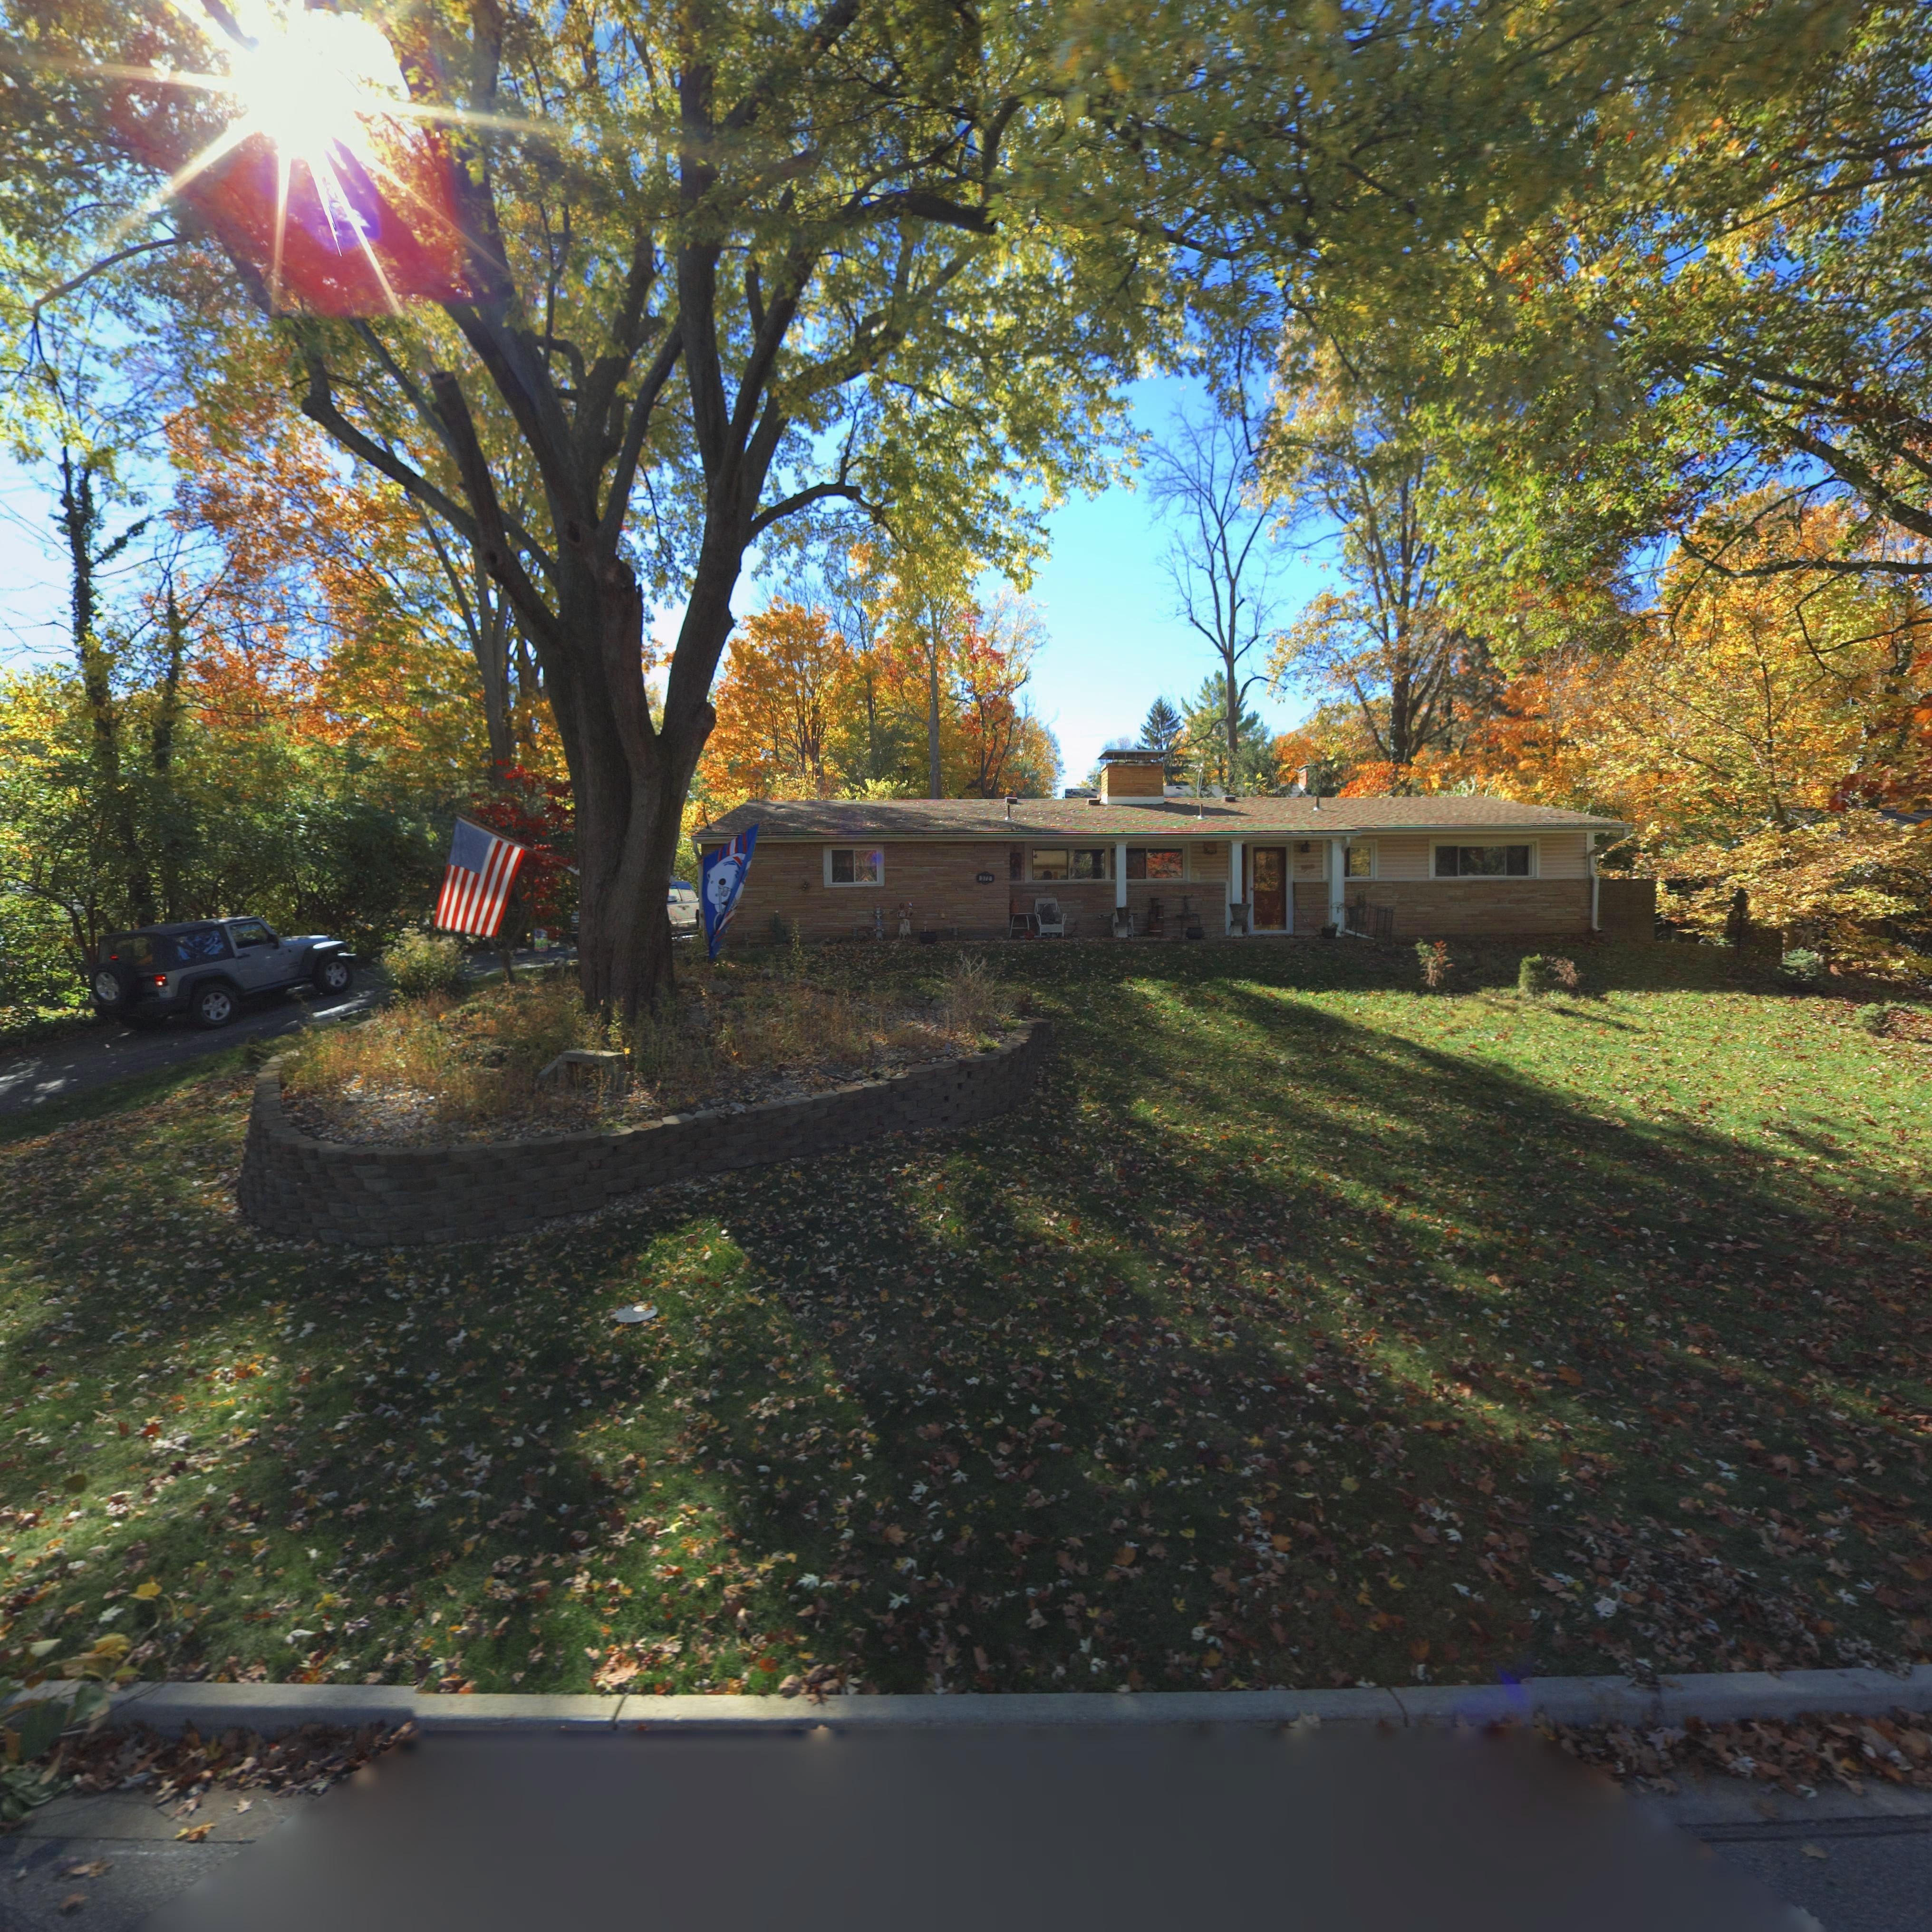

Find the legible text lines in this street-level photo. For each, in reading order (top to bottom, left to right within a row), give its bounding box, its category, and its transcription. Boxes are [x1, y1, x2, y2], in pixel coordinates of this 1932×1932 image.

[980, 875, 990, 881] StreetNumber: 372